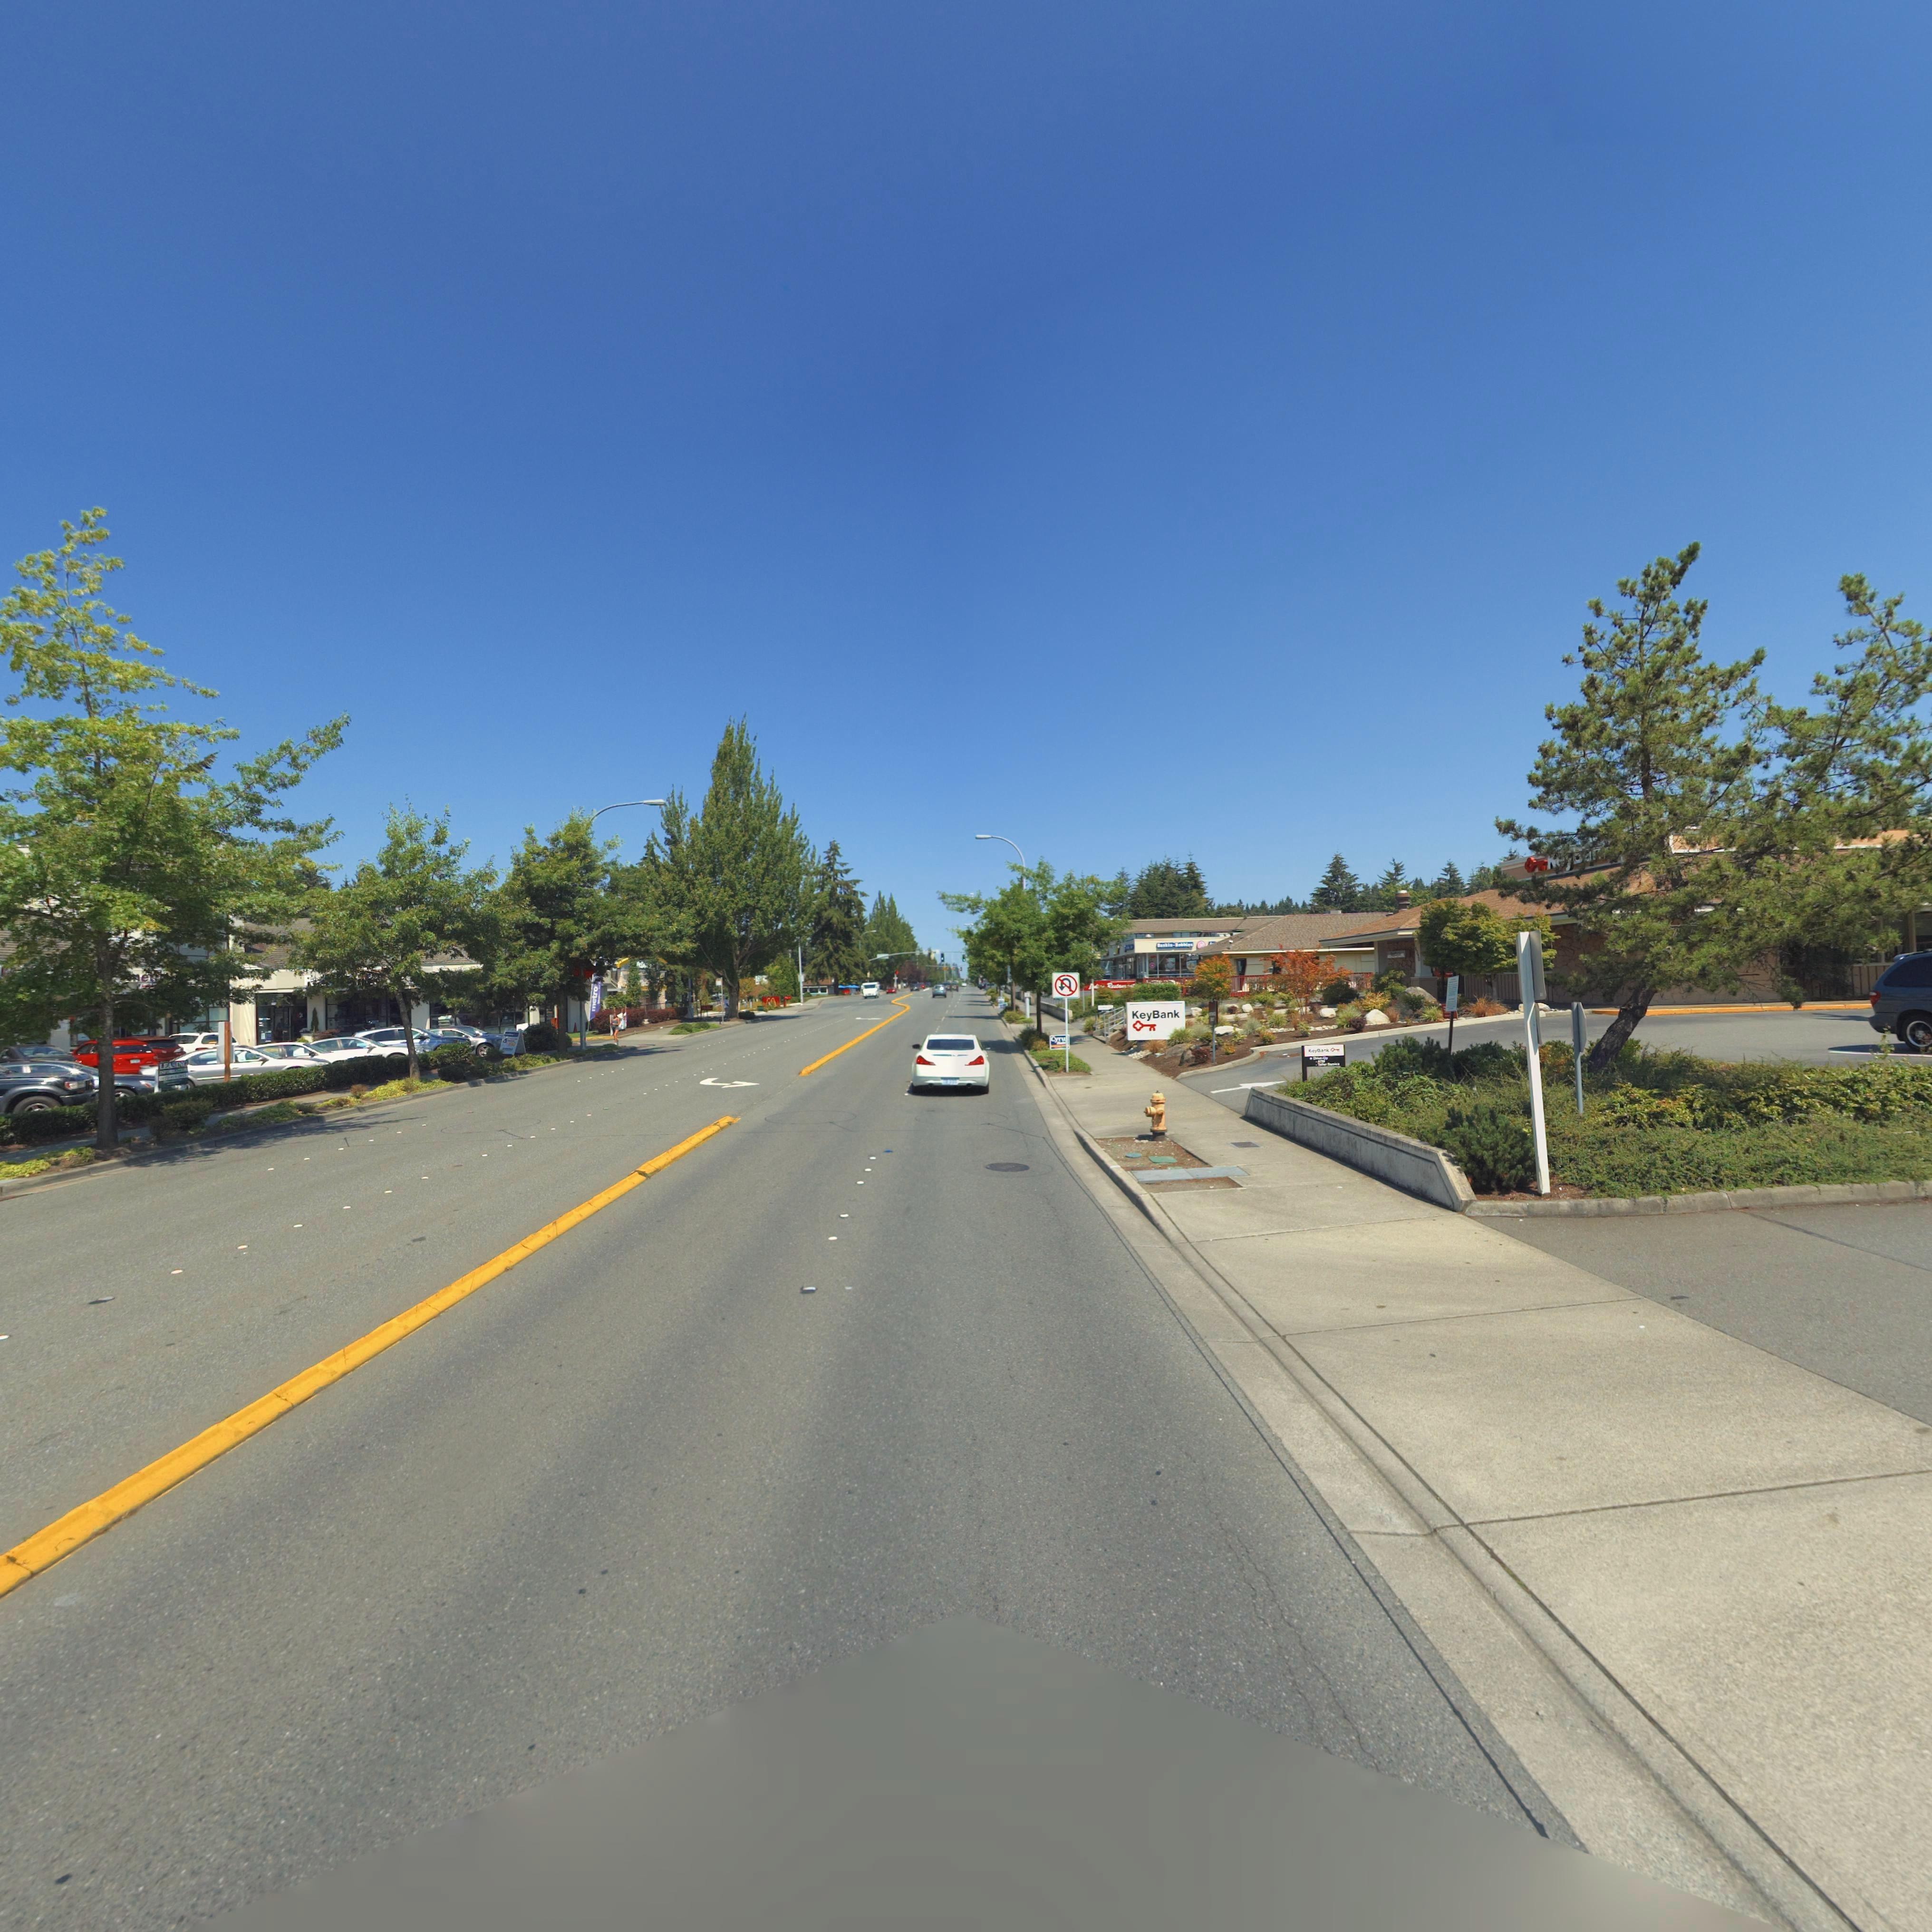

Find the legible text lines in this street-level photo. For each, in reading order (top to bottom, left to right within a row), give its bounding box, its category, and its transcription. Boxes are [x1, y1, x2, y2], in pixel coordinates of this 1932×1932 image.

[1124, 1001, 1182, 1021] BusinessName: KeyBank